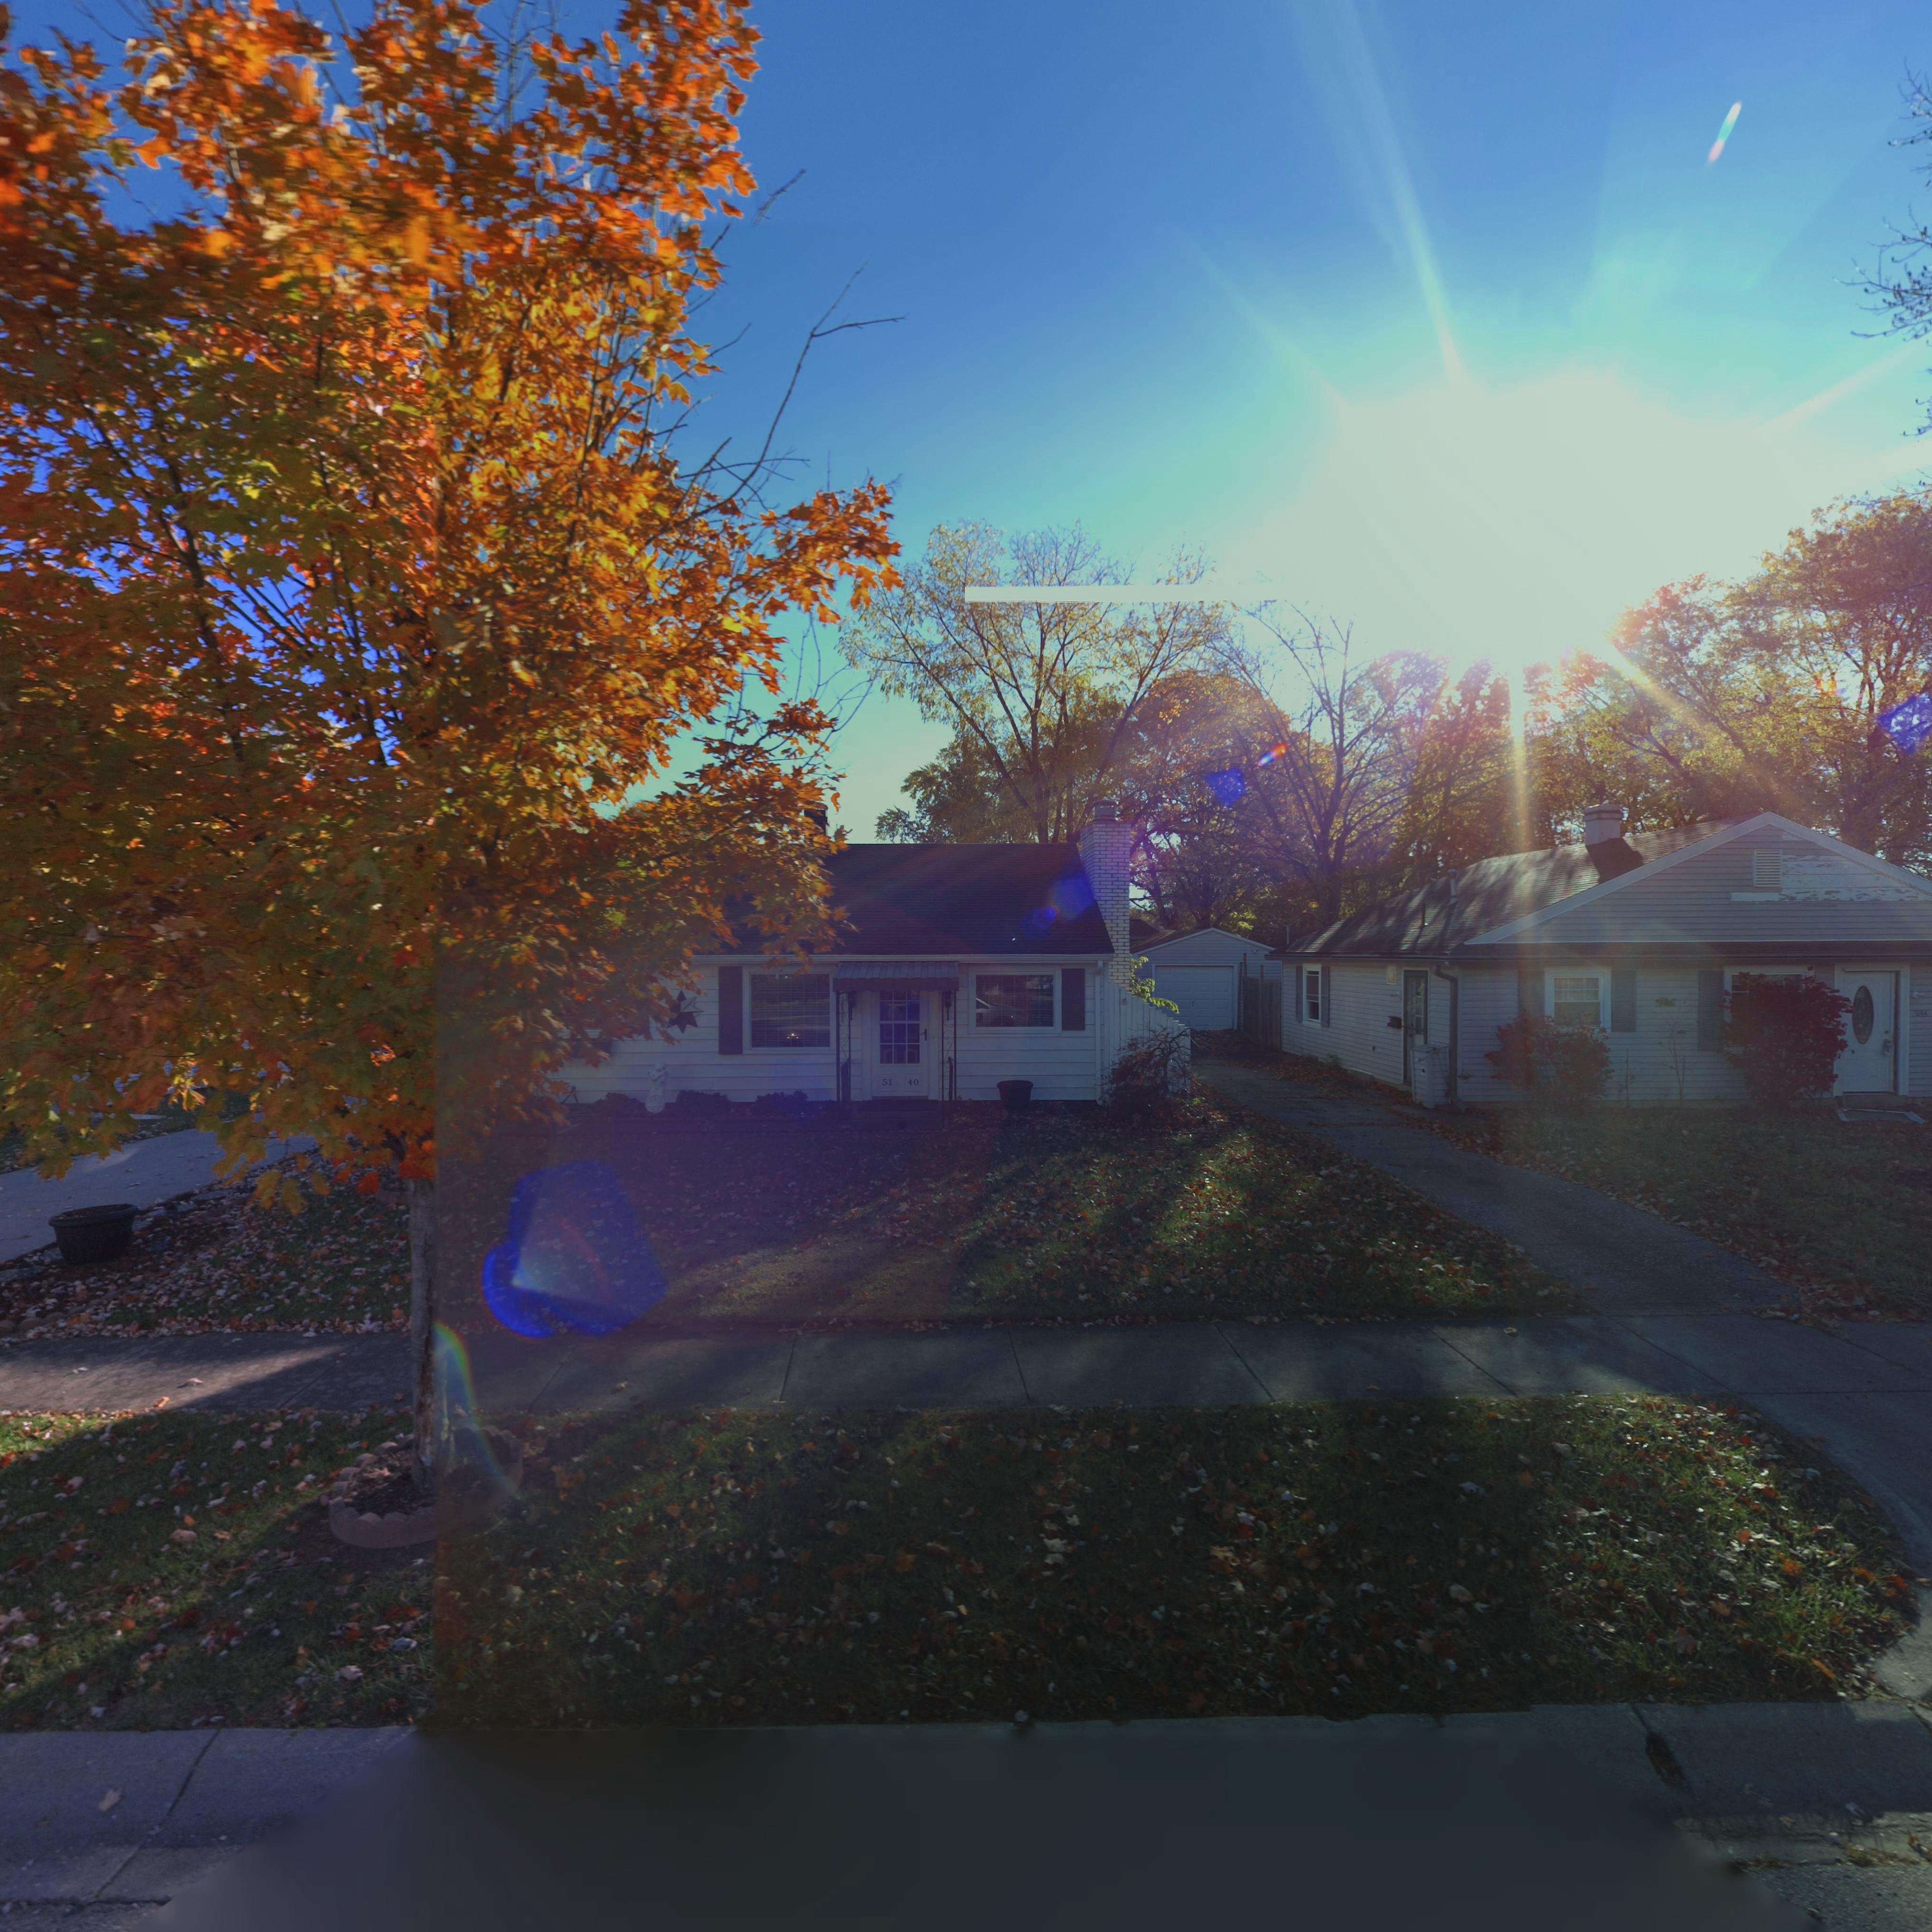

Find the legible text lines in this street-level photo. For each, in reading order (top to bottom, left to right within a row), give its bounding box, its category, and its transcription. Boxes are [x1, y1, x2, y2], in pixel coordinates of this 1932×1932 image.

[1913, 1010, 1928, 1017] StreetNumber: 5*44
[882, 1078, 918, 1086] StreetNumber: 51 40